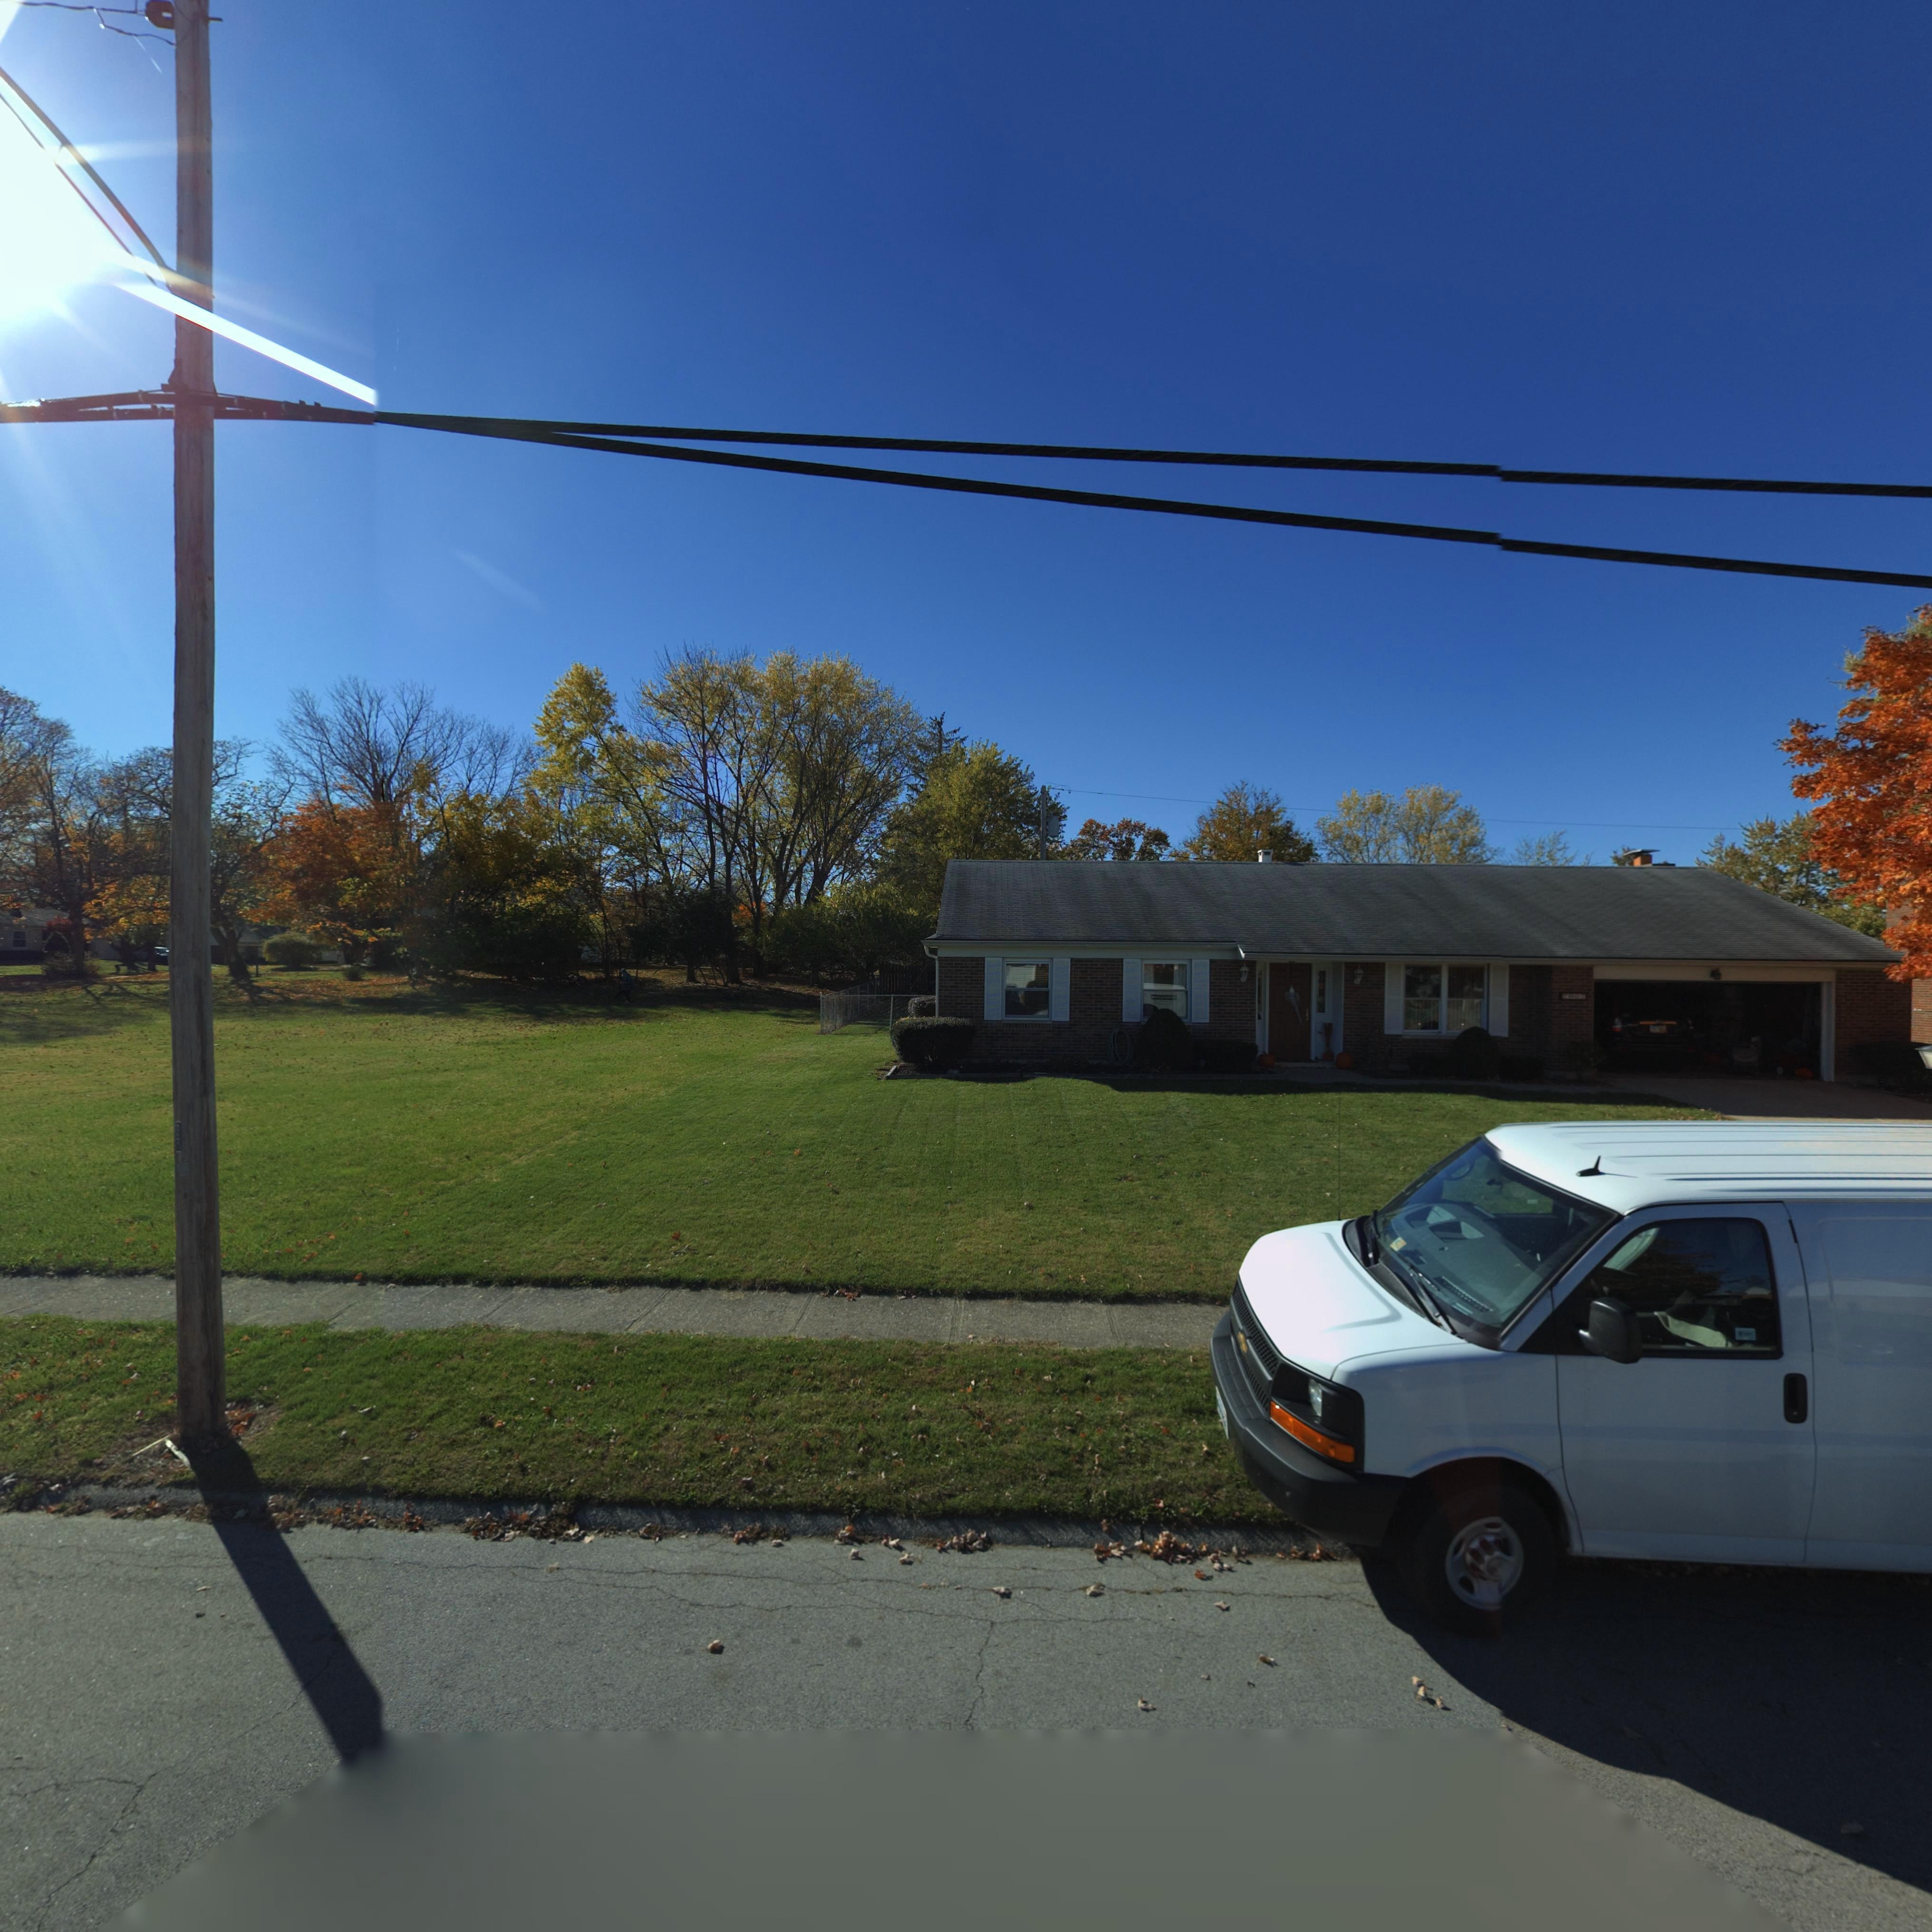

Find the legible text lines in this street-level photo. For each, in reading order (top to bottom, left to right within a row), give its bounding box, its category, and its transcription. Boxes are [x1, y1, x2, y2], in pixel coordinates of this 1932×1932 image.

[1562, 994, 1586, 999] StreetNumber: 7007